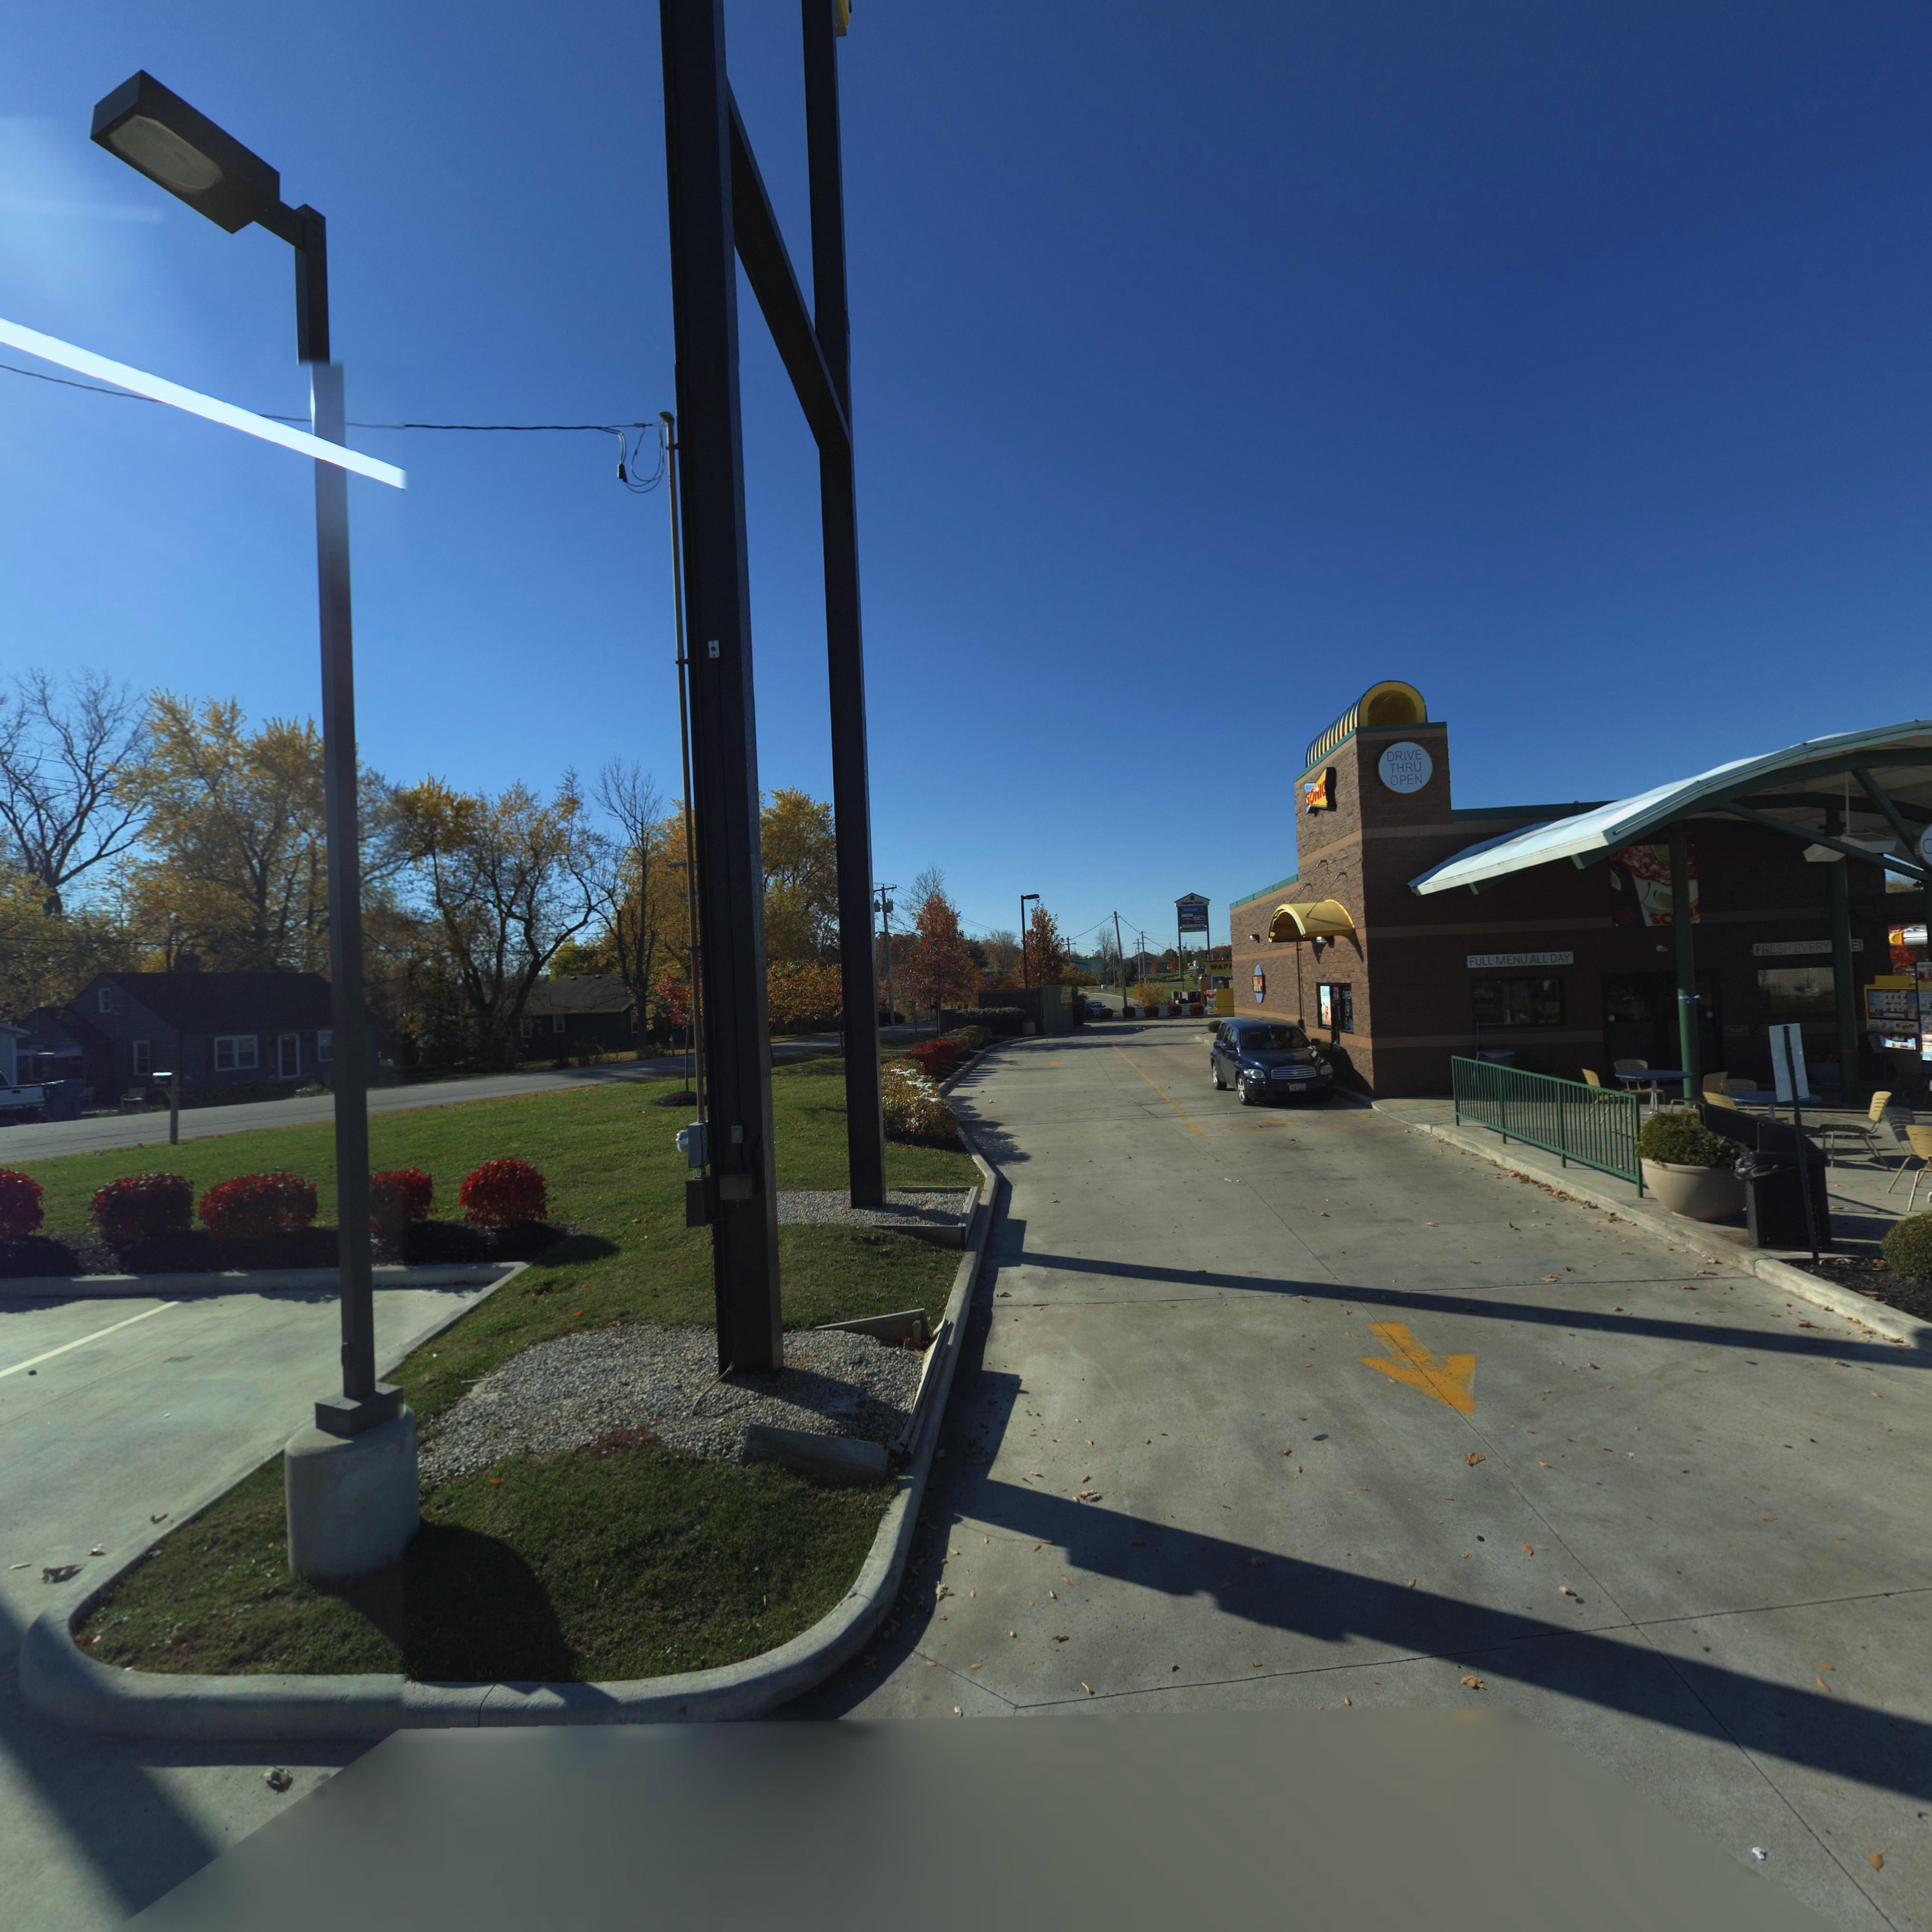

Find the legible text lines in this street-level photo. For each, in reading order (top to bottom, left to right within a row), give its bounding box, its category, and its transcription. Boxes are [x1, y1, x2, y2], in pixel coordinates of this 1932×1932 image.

[1729, 1027, 1743, 1033] StreetNumber: 7888